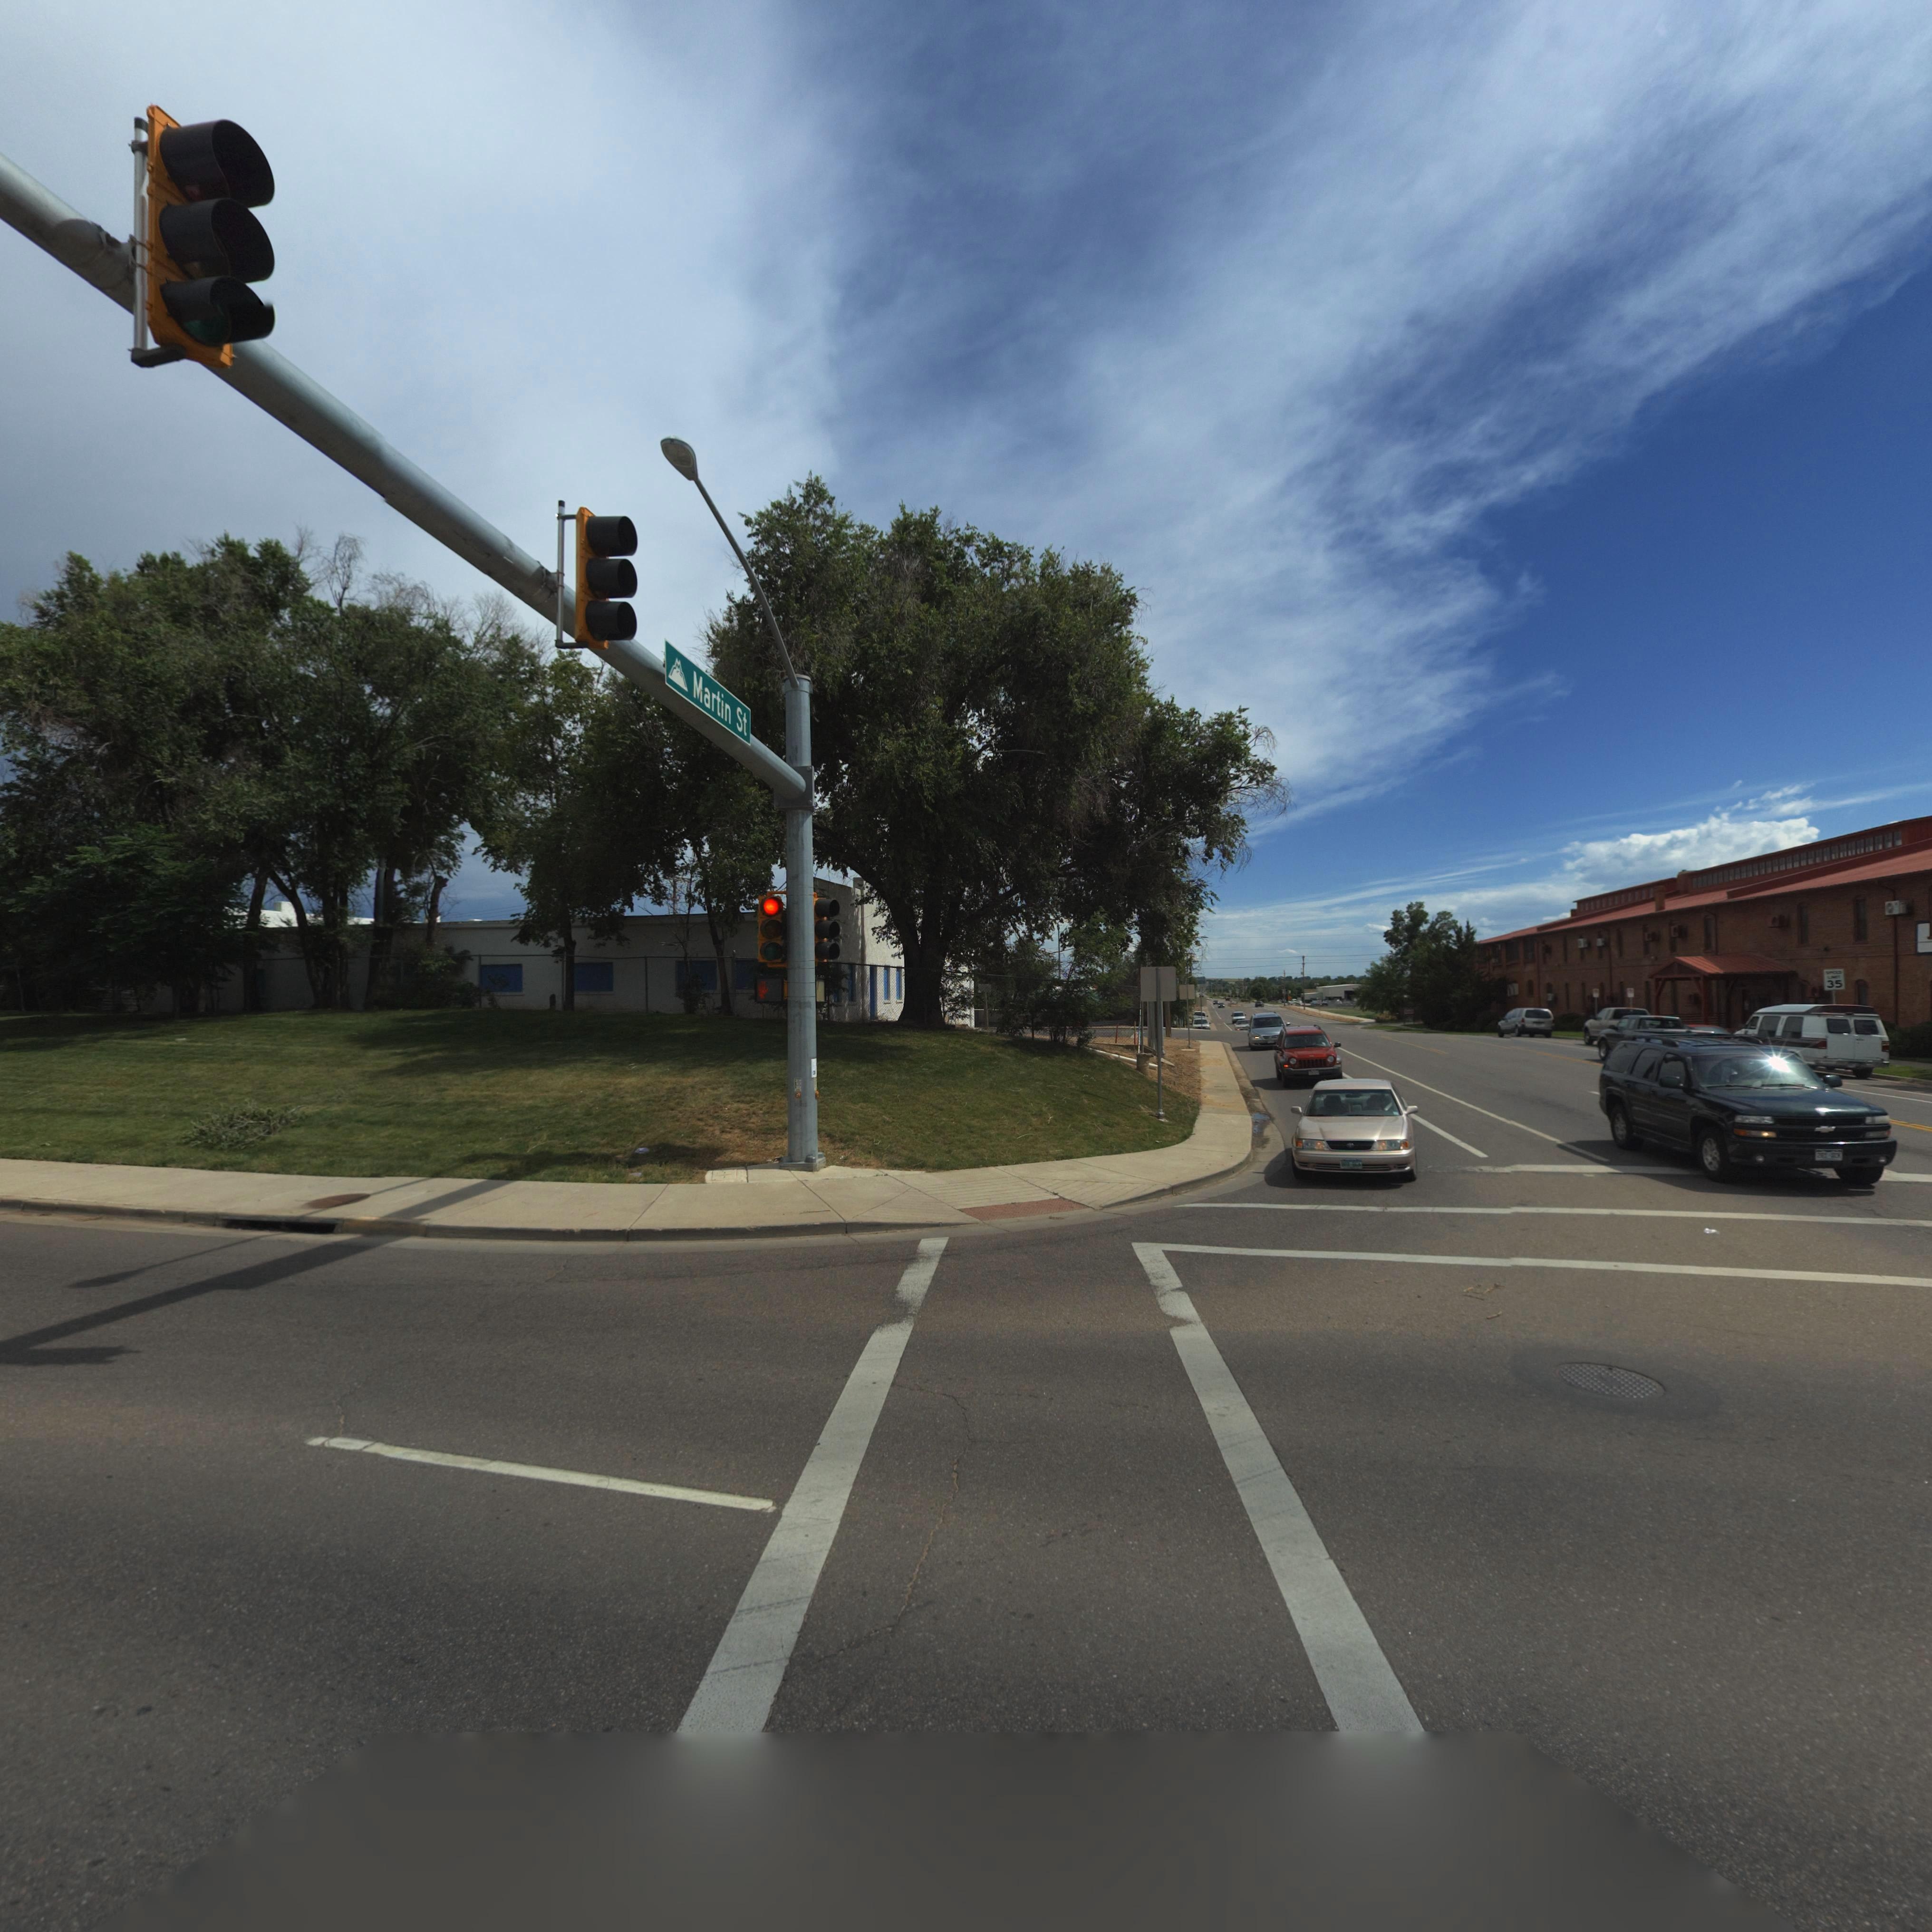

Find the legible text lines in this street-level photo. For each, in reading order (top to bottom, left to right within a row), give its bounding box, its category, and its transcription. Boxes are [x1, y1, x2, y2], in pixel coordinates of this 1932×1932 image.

[693, 670, 748, 740] StreetName: Martin St